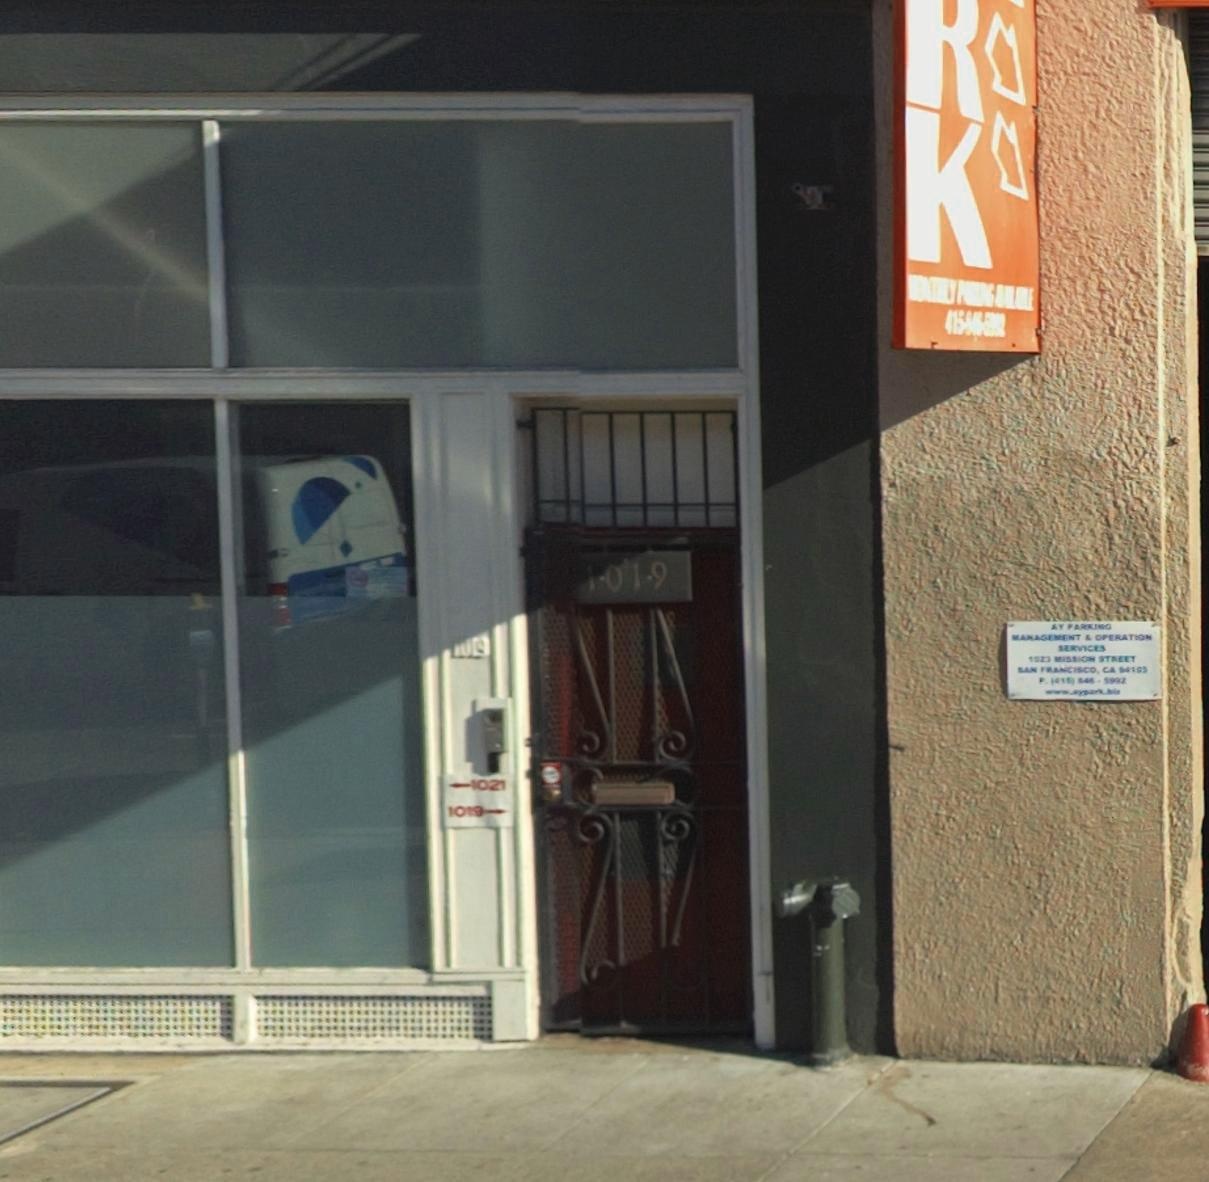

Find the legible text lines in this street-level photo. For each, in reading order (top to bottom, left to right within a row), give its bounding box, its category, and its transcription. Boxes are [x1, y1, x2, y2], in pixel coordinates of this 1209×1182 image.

[901, 103, 995, 273] None: K
[580, 558, 670, 595] StreetNumber: 1019
[1066, 623, 1113, 631] None: PARKING
[1010, 634, 1153, 642] None: MANAGEMENT & OPERATION
[450, 634, 491, 660] StreetNumber: 1019
[1057, 644, 1106, 653] None: SERVICES
[1053, 655, 1136, 663] StreetName: MISSION STREET
[1015, 666, 1149, 674] None: SAN FRANCISCO, CA *4*53
[471, 778, 507, 792] StreetNumber: 1021
[447, 805, 485, 818] StreetNumber: 1019